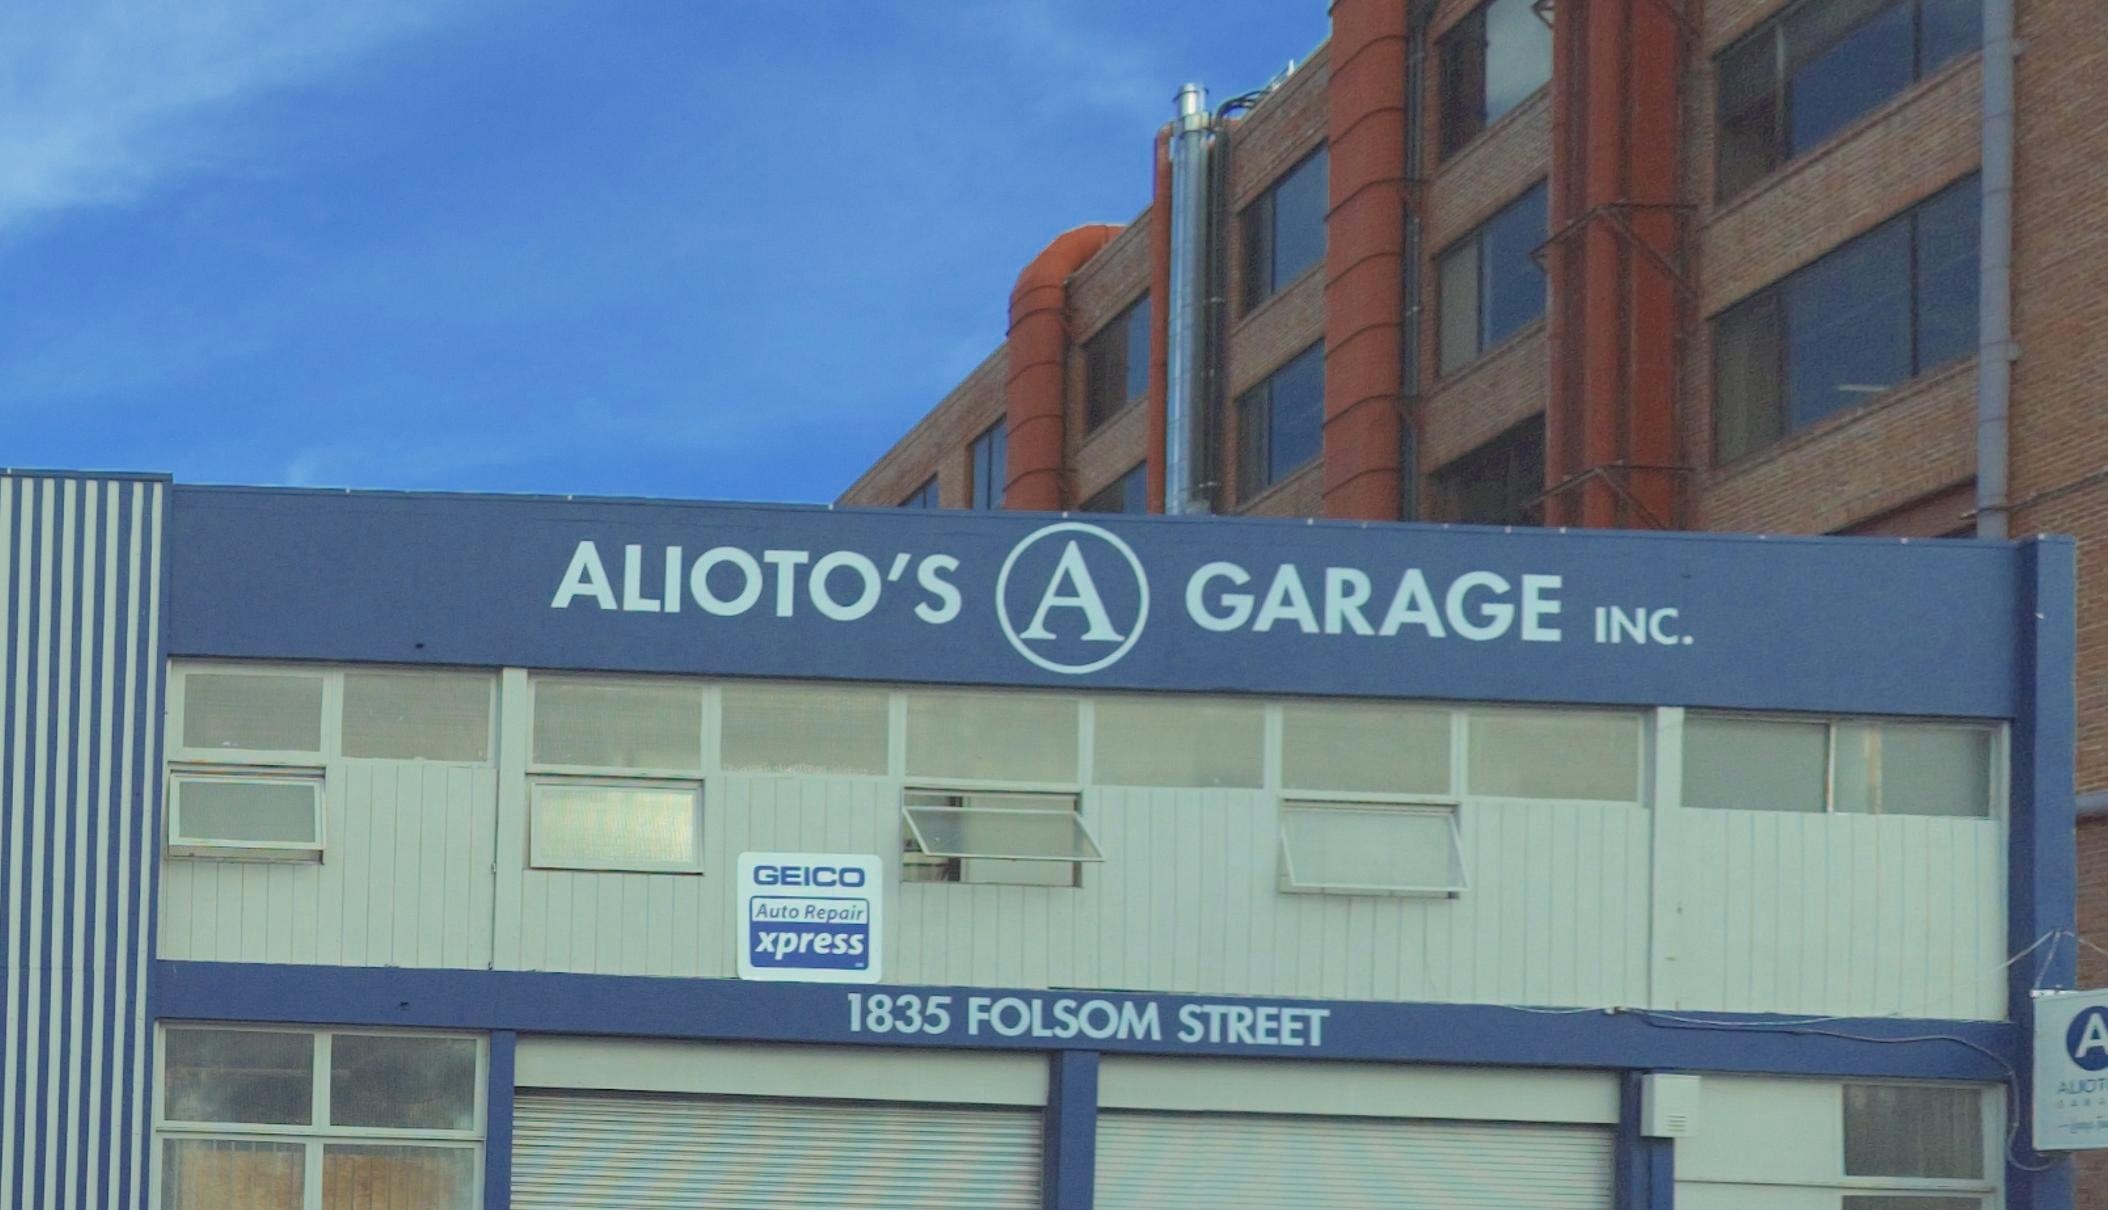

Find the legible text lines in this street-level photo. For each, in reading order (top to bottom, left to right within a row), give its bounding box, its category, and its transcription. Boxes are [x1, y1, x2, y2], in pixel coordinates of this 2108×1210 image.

[1006, 532, 1135, 647] None: A
[529, 525, 1709, 654] BusinessName: ALIOTO'S * GARAGE INC.
[749, 860, 870, 891] None: GEICO
[747, 899, 868, 927] None: Auto Repair
[748, 926, 870, 968] None: xpress
[842, 987, 957, 1039] StreetNumber: 1835
[964, 991, 1337, 1050] StreetName: FOLSOM STREET
[2047, 1074, 2107, 1098] BusinessName: ALIOT